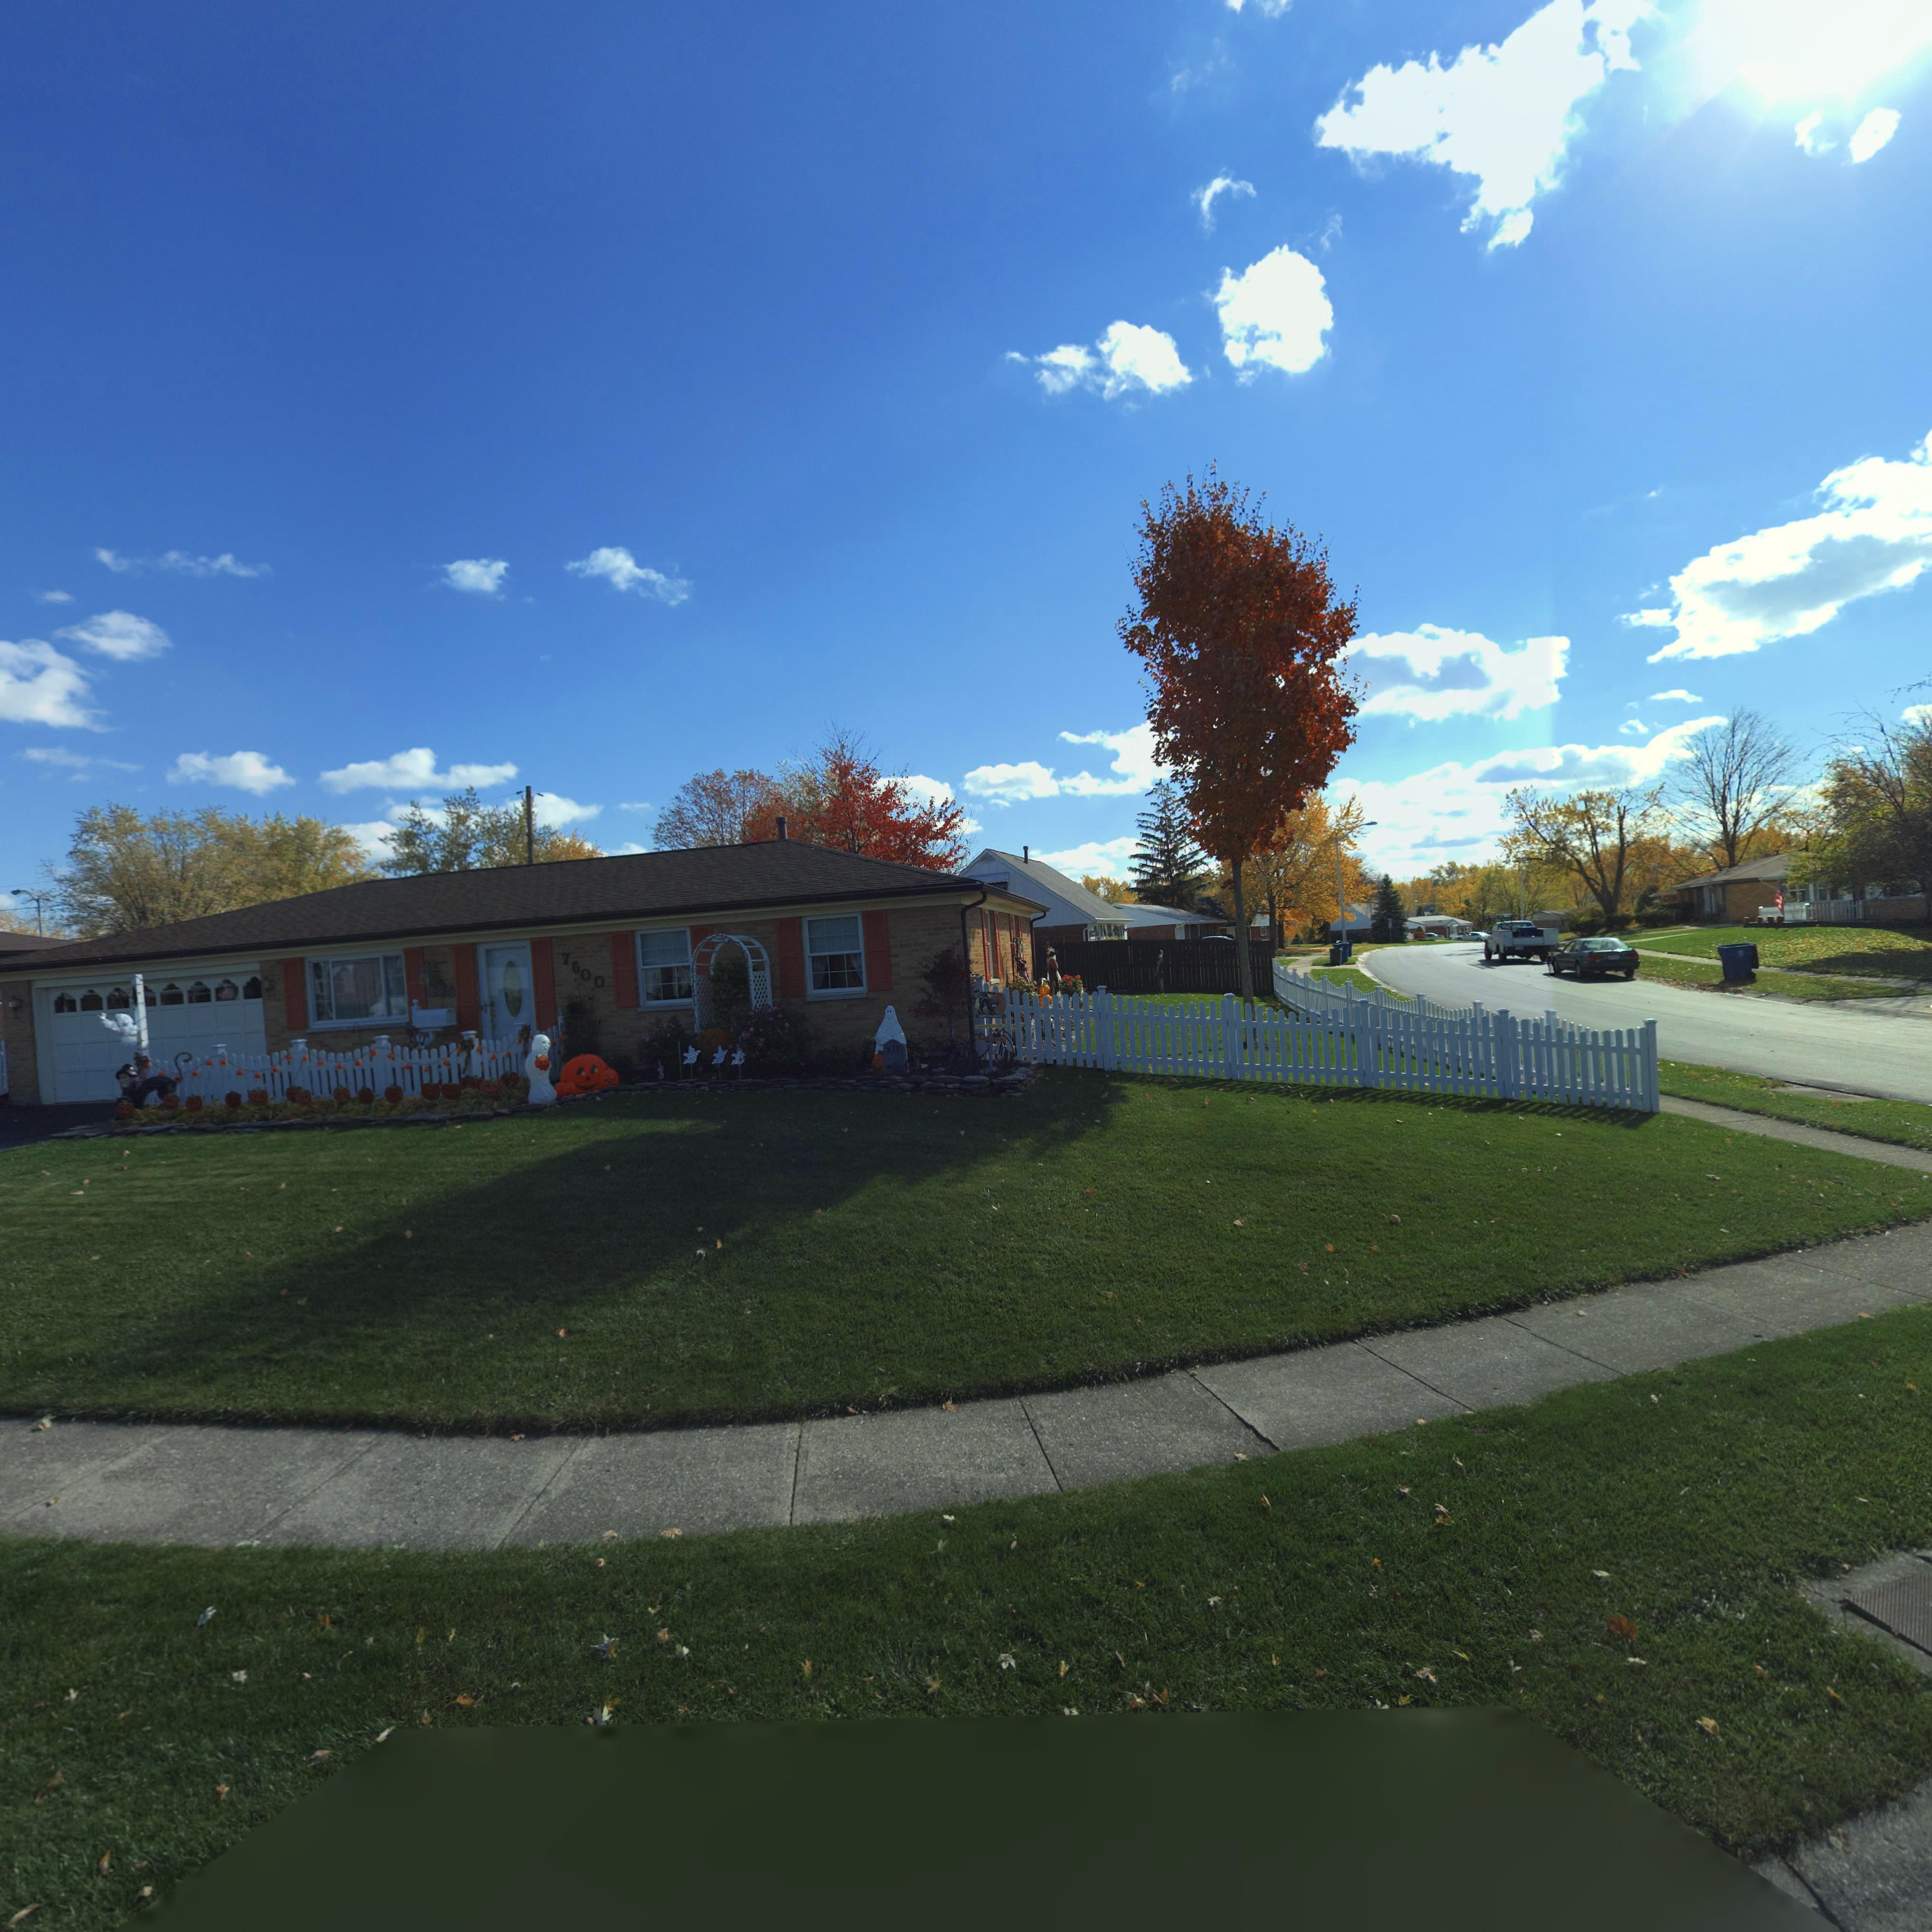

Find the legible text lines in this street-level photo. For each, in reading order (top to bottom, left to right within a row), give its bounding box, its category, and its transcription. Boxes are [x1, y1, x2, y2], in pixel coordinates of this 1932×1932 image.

[560, 952, 605, 990] StreetNumber: 7600